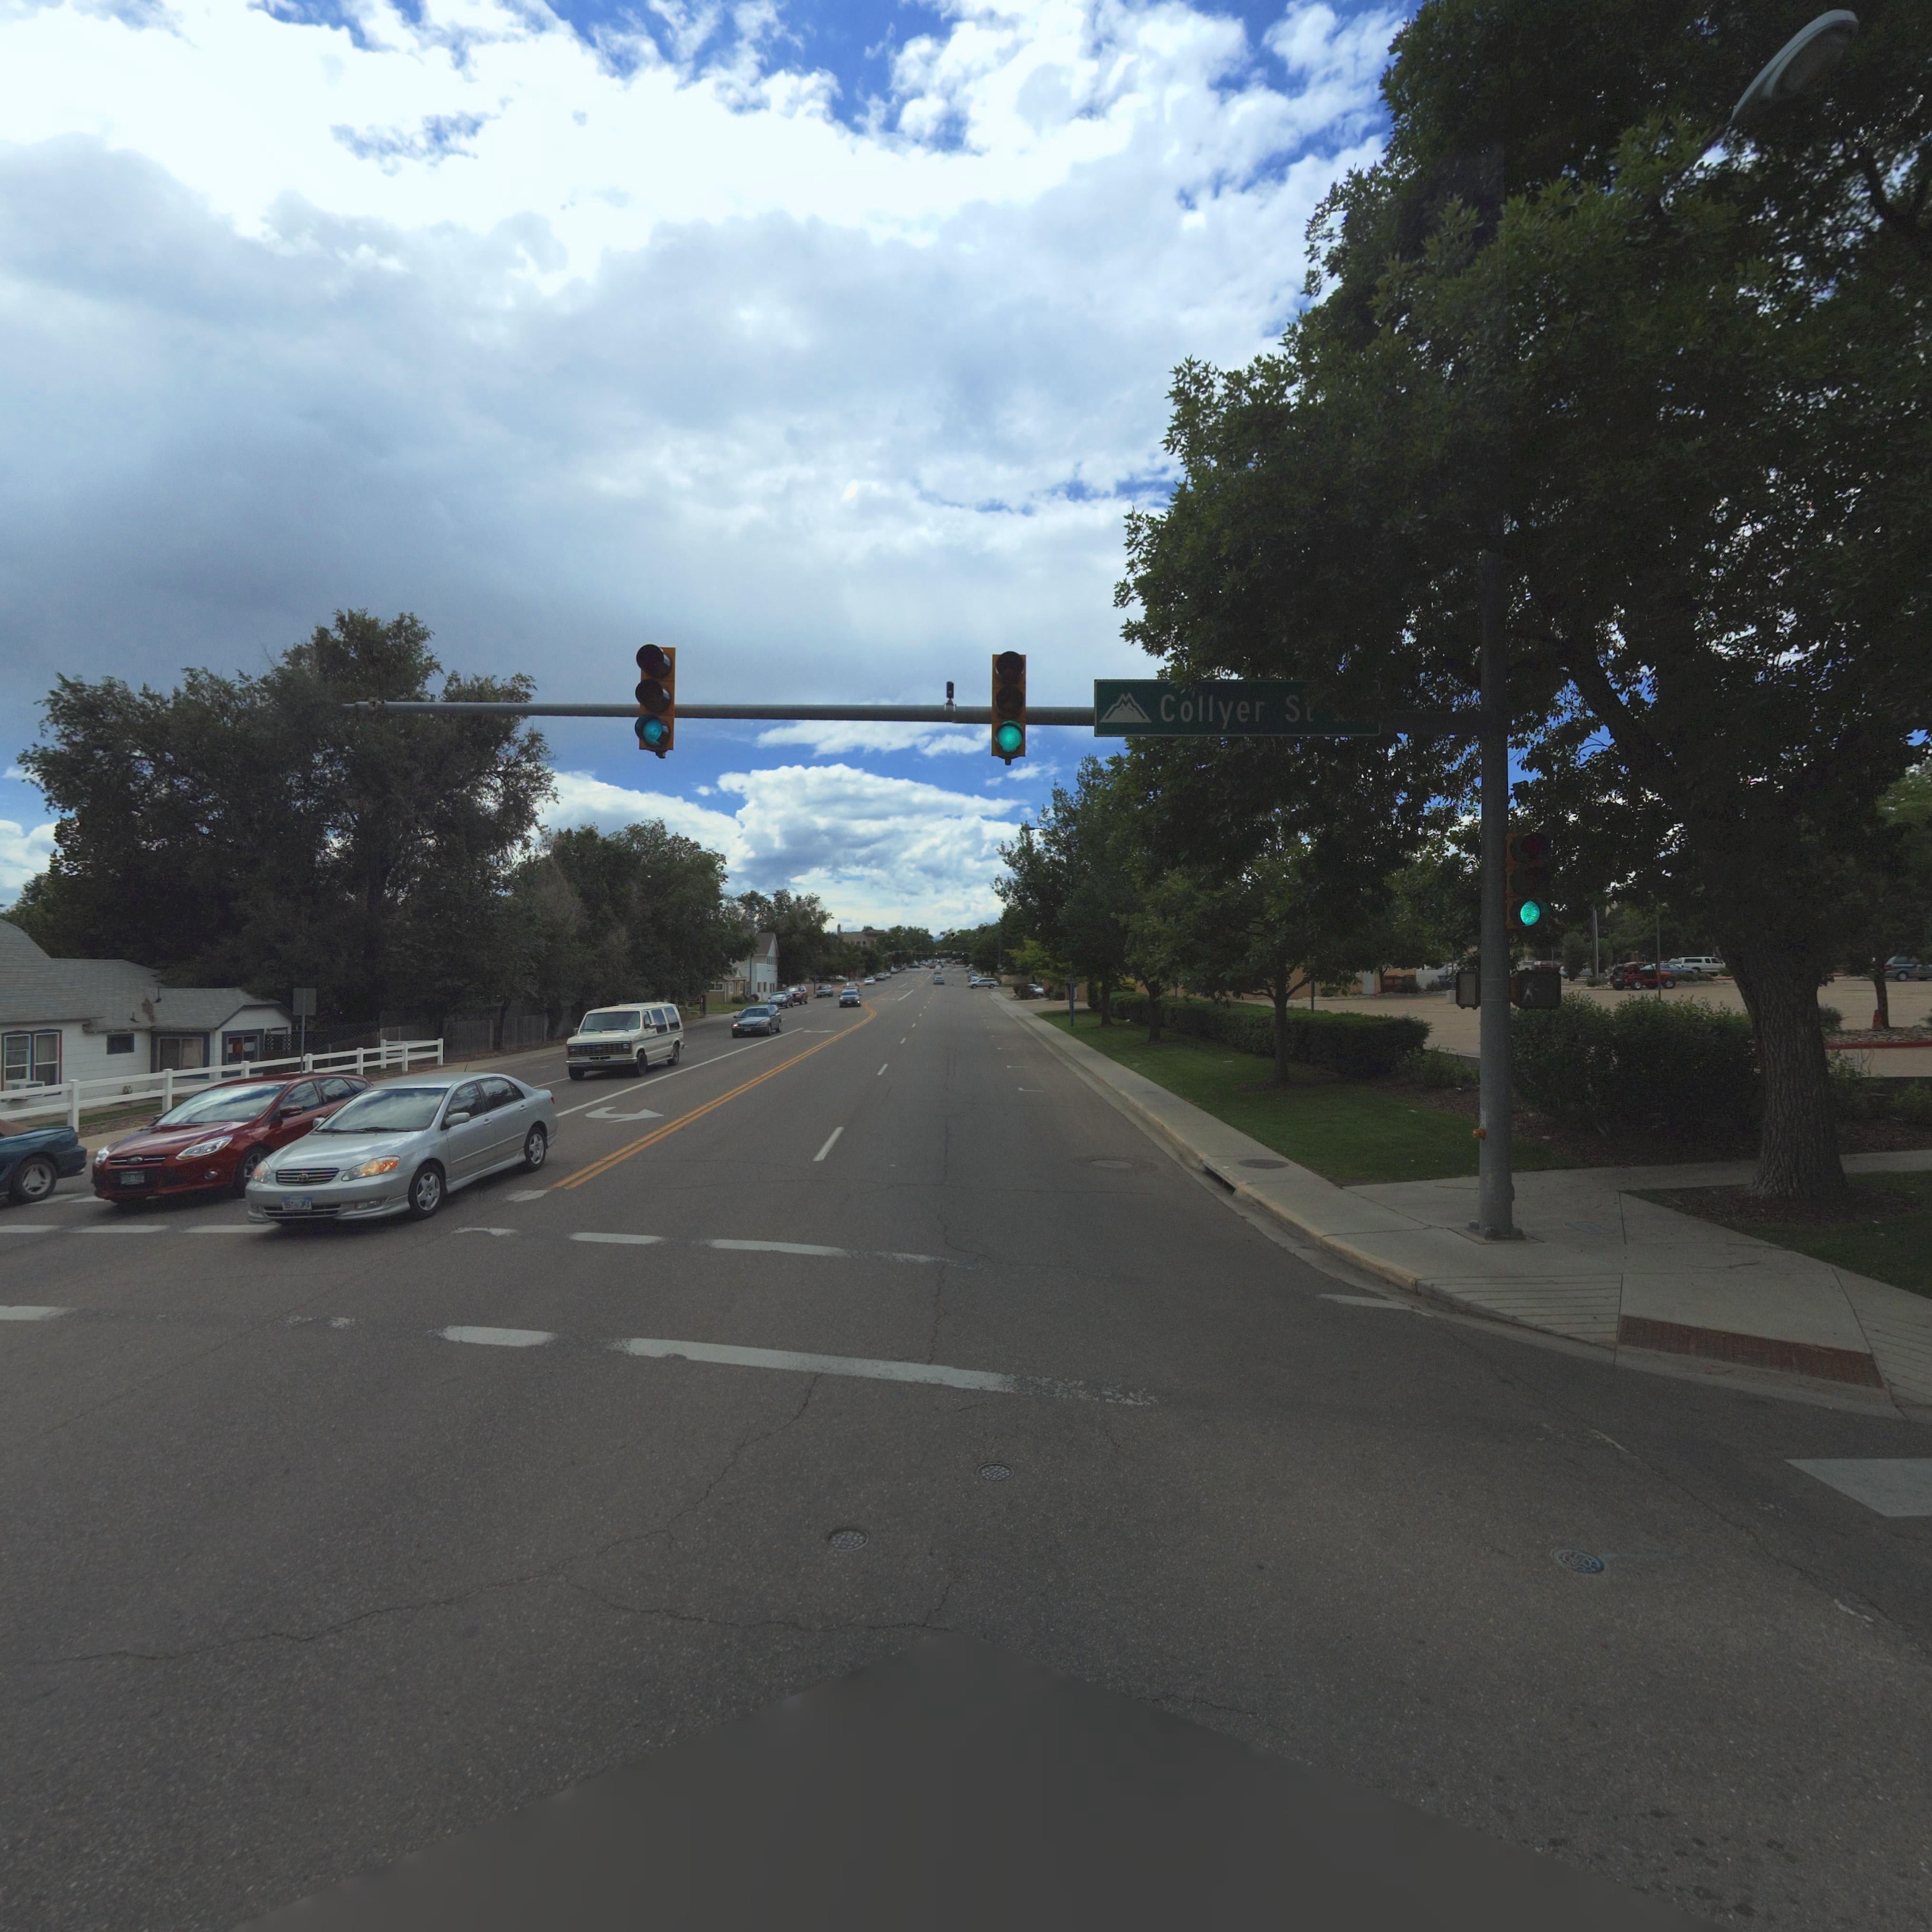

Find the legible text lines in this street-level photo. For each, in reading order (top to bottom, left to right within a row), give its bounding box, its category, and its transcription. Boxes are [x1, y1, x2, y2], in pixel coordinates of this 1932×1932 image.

[1159, 693, 1315, 730] StreetName: Collyer St